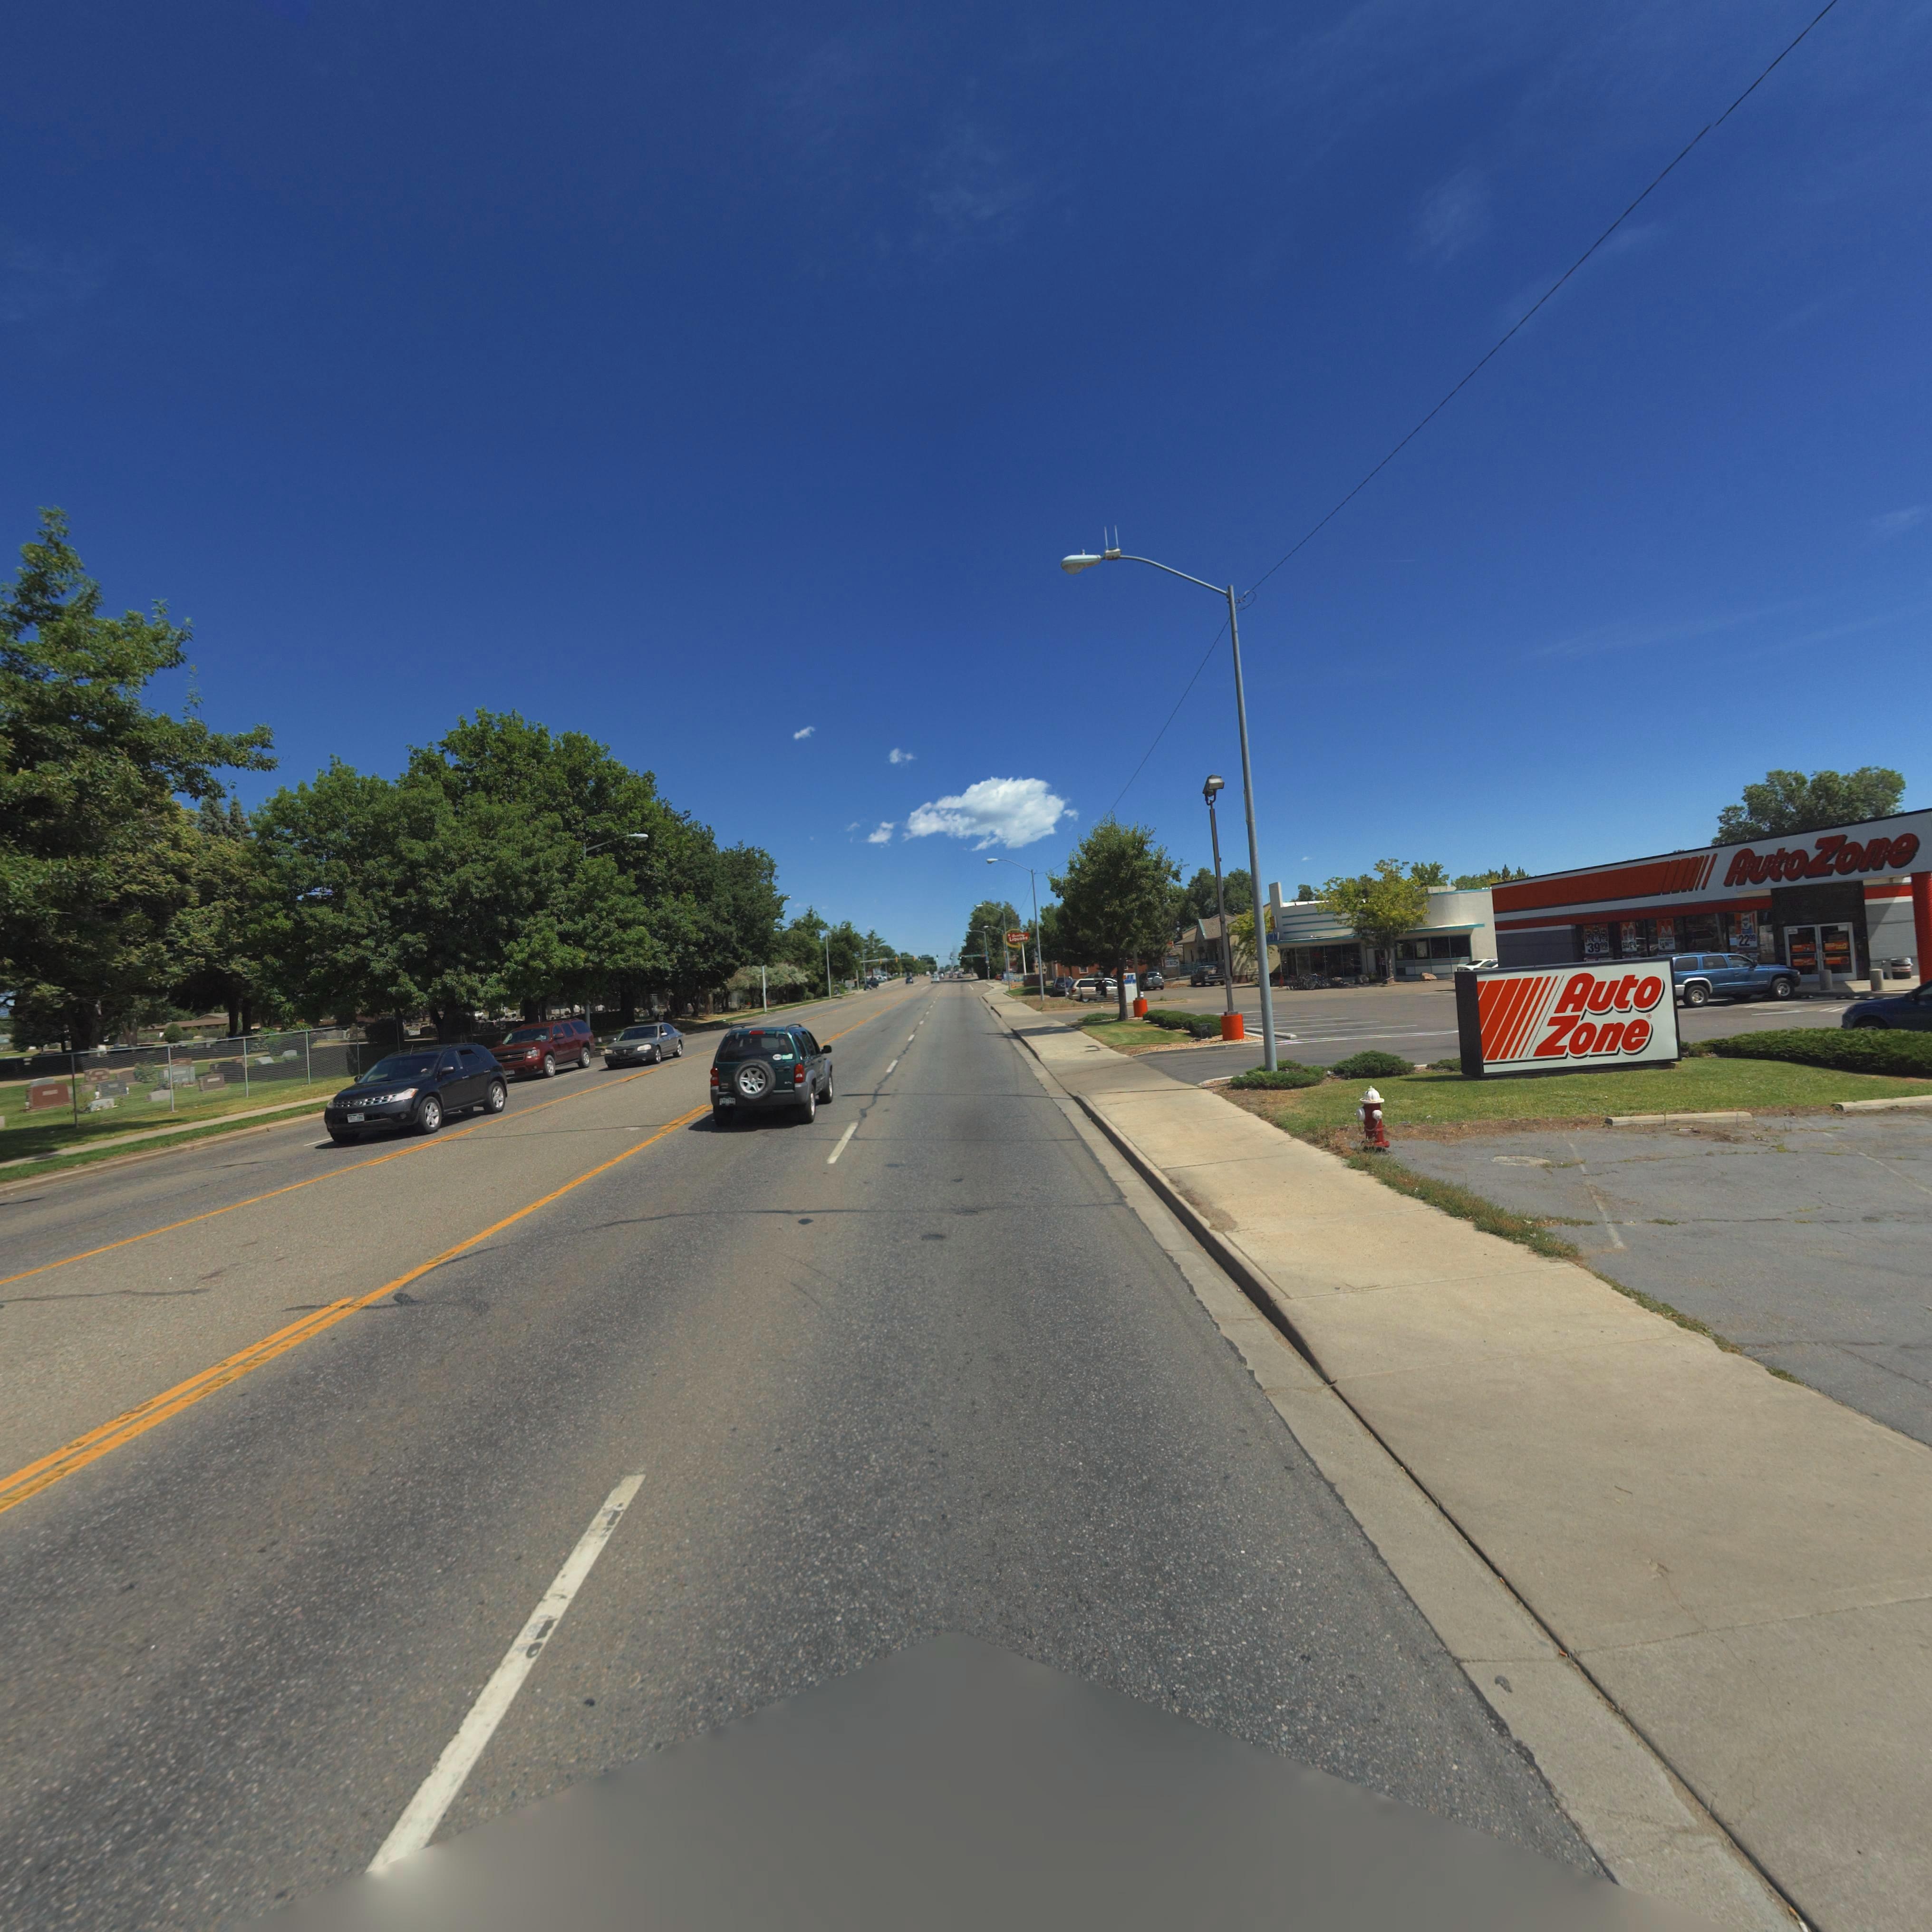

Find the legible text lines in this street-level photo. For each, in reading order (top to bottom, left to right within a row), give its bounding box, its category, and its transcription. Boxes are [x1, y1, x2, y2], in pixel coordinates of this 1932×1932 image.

[1722, 832, 1920, 888] BusinessName: AutoZone
[1009, 936, 1028, 942] BusinessName: L*QU**S
[1266, 932, 1278, 942] BusinessName: *WN
[1552, 971, 1663, 1014] BusinessName: Auto
[1532, 1013, 1650, 1058] BusinessName: Zone